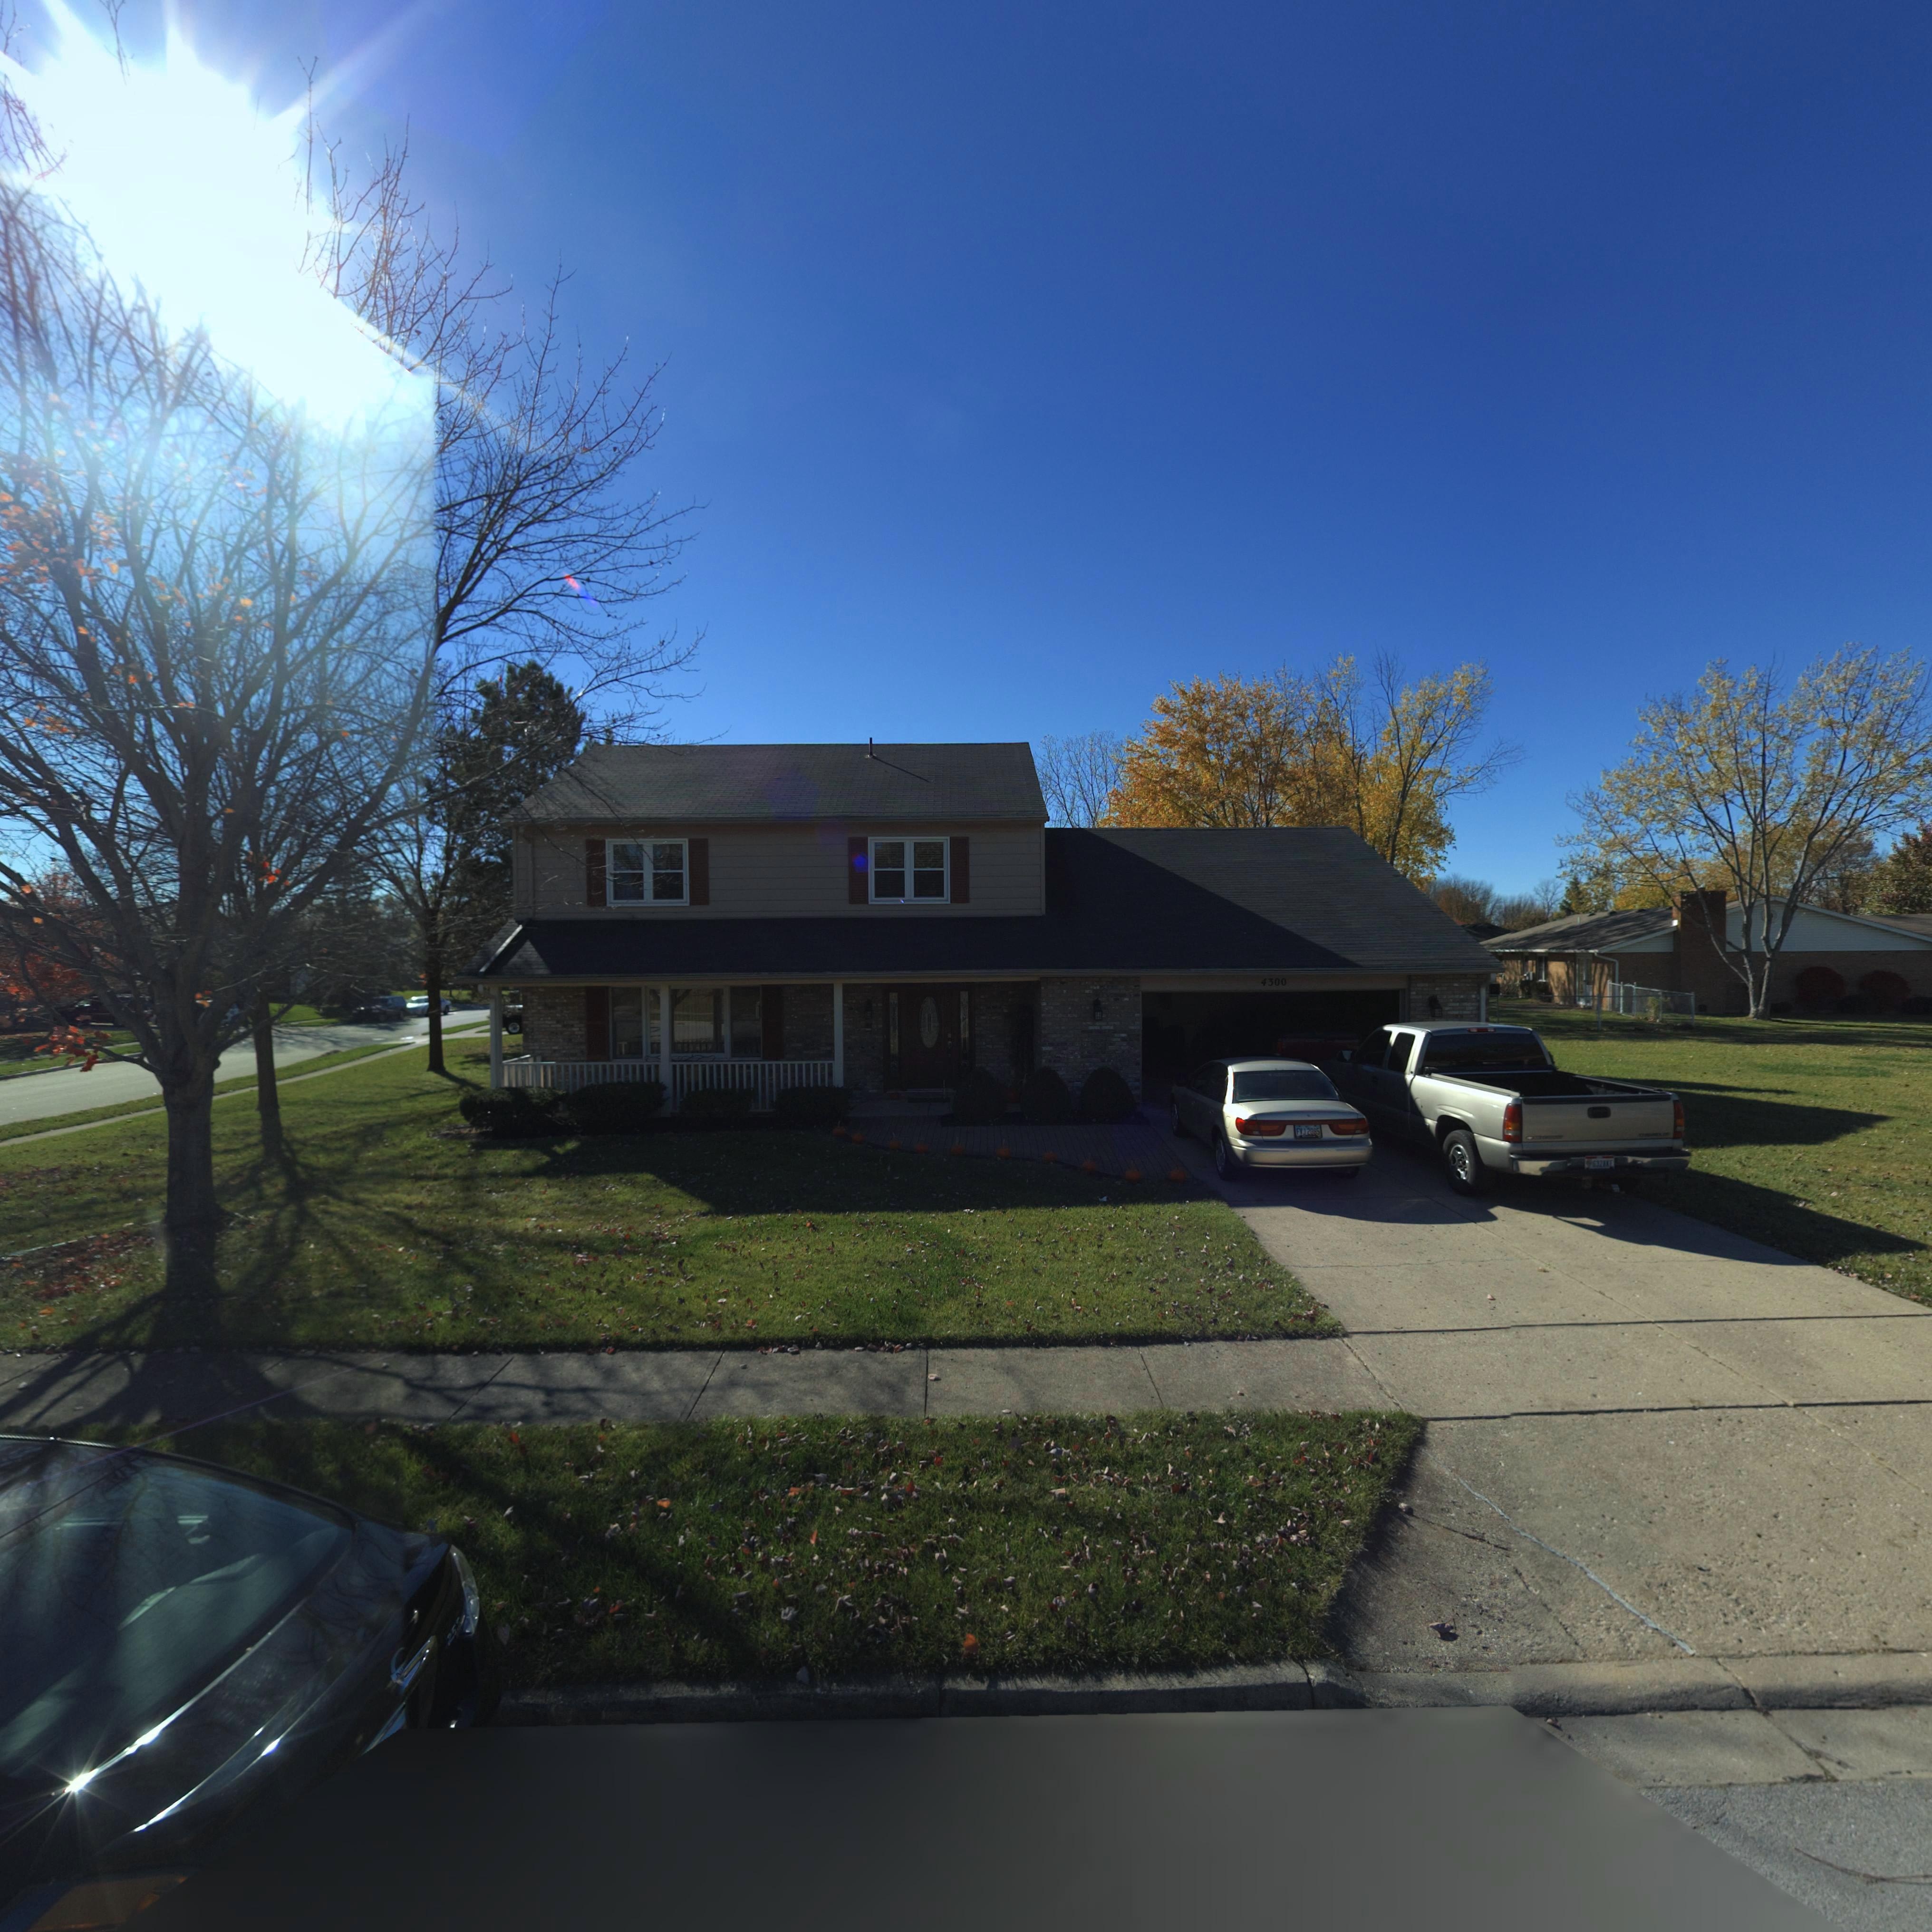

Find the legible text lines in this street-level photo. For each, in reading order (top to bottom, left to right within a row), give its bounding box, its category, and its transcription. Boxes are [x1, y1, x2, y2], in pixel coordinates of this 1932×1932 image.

[1261, 977, 1287, 986] StreetNumber: 4300